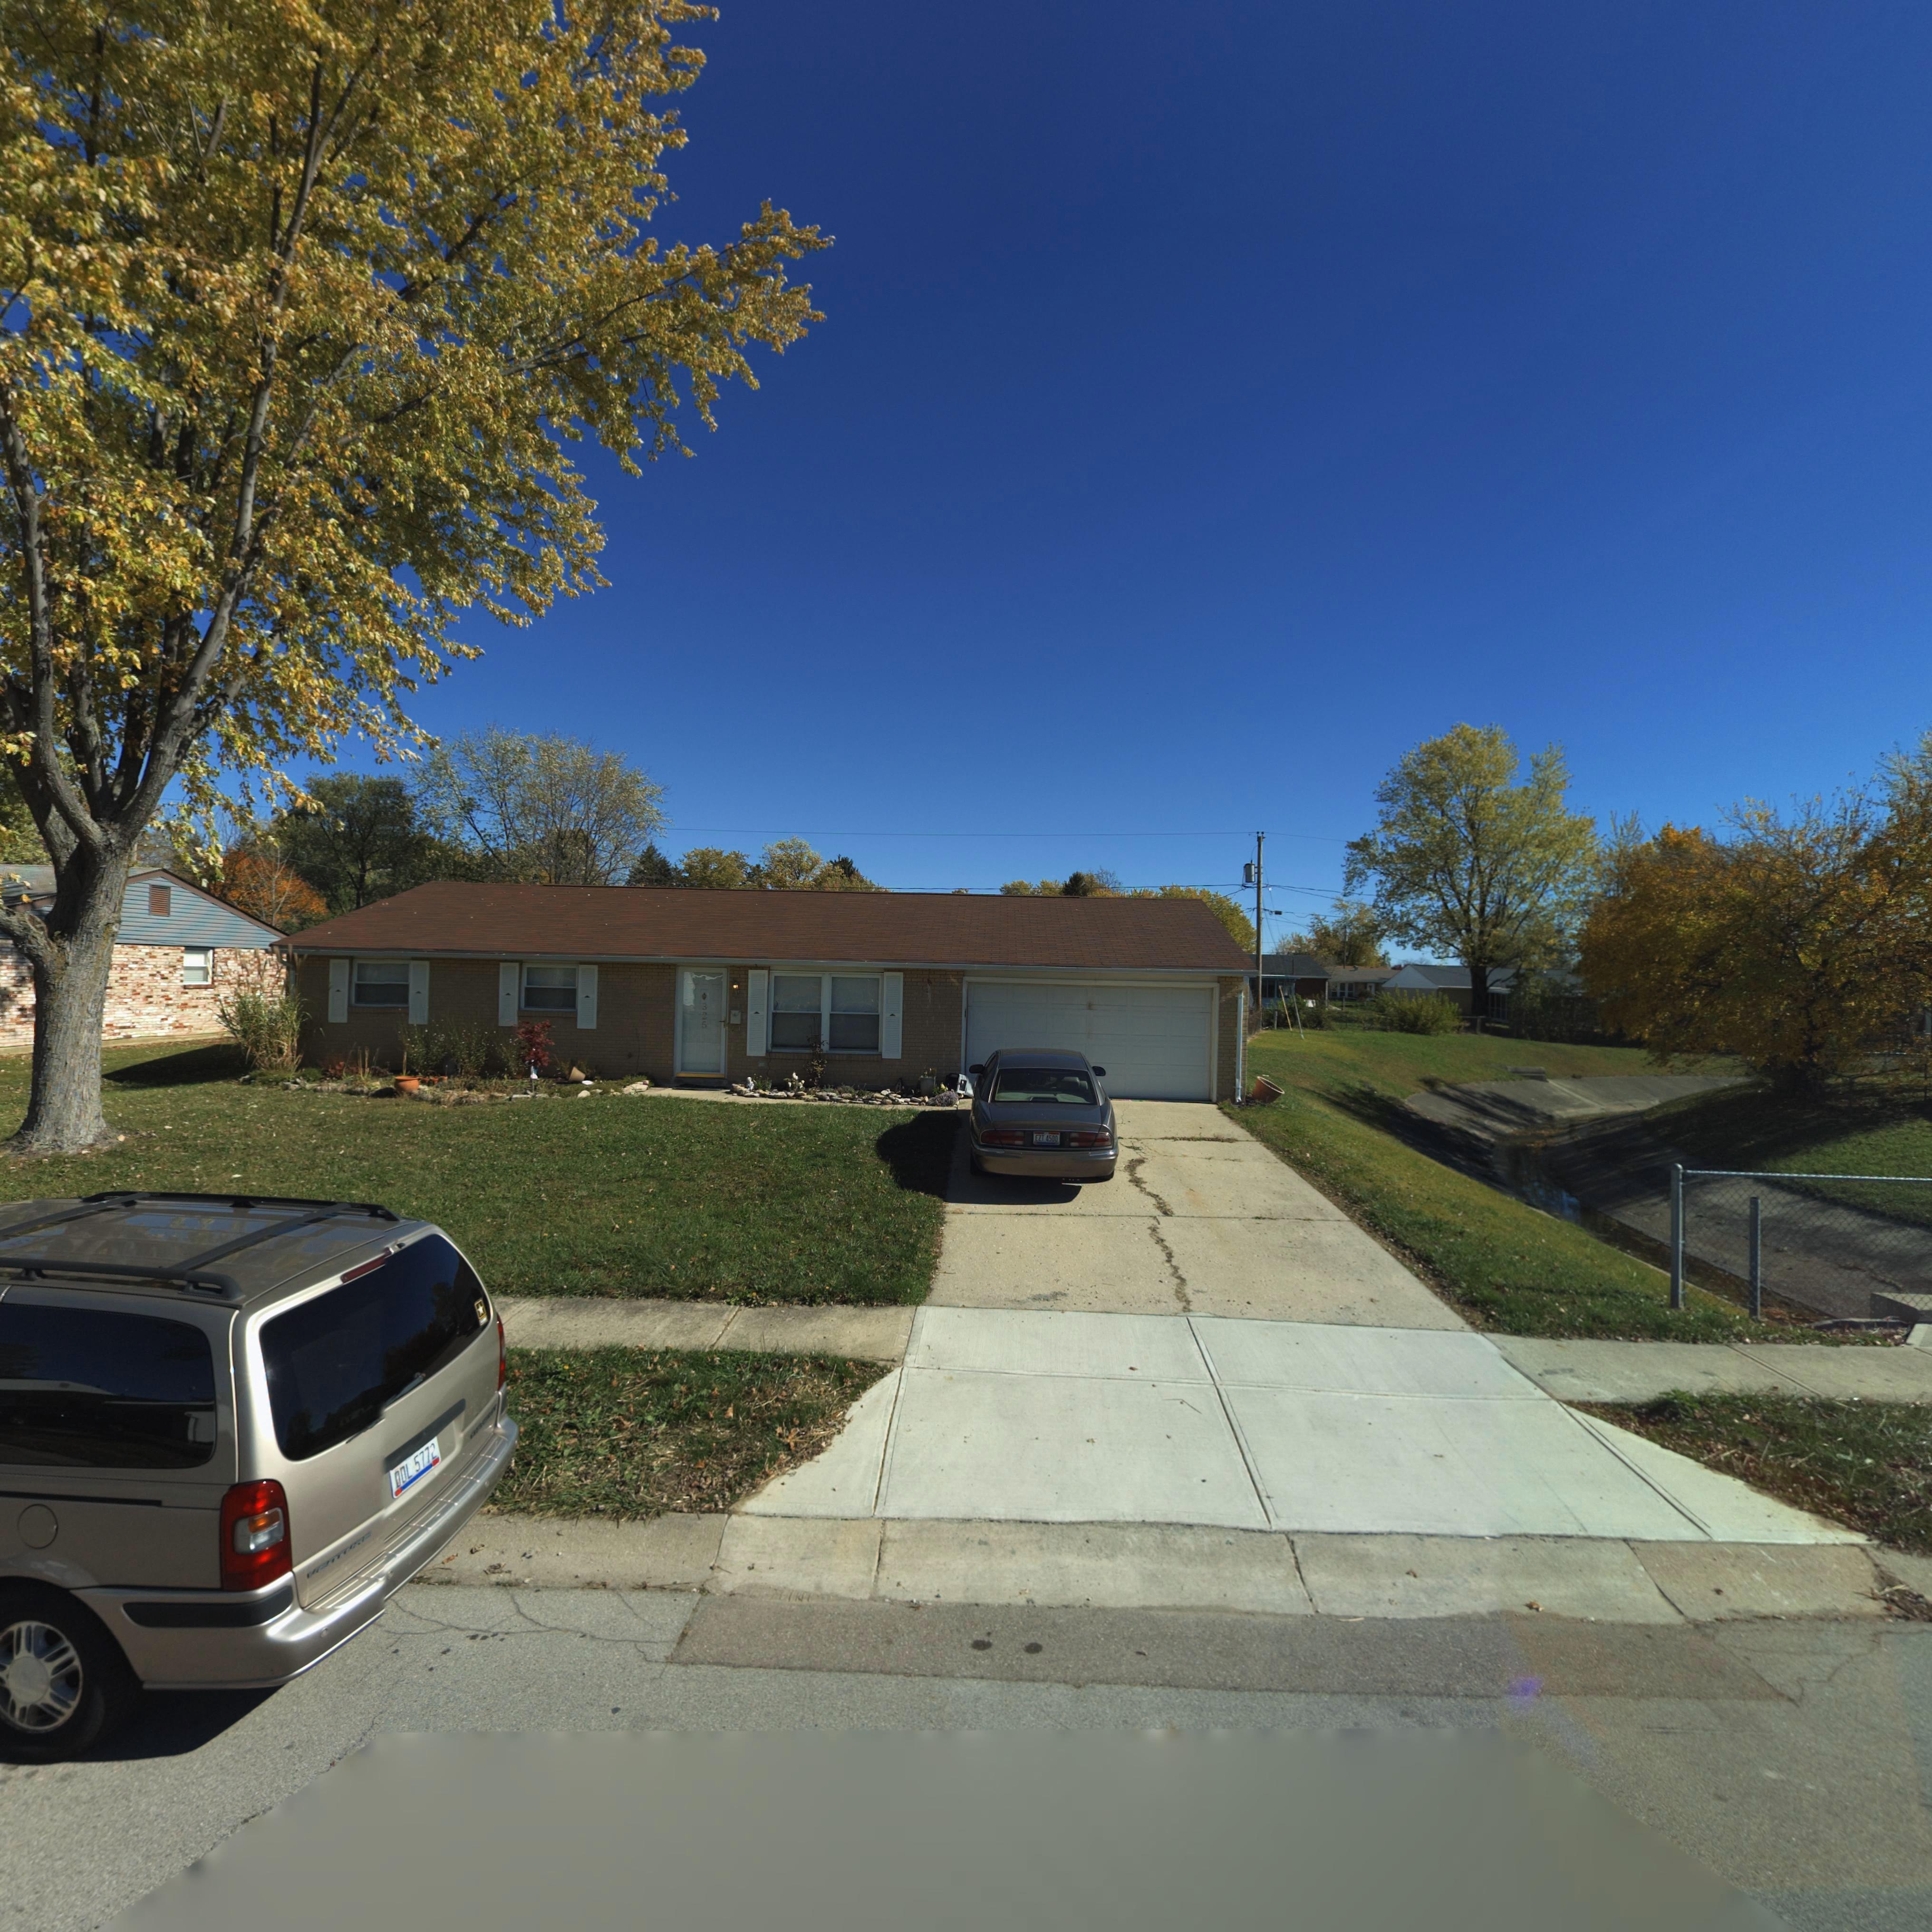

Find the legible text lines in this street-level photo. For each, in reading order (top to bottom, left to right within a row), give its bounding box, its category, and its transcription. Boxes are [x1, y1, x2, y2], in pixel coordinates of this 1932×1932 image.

[701, 1002, 708, 1030] StreetNumber: 325